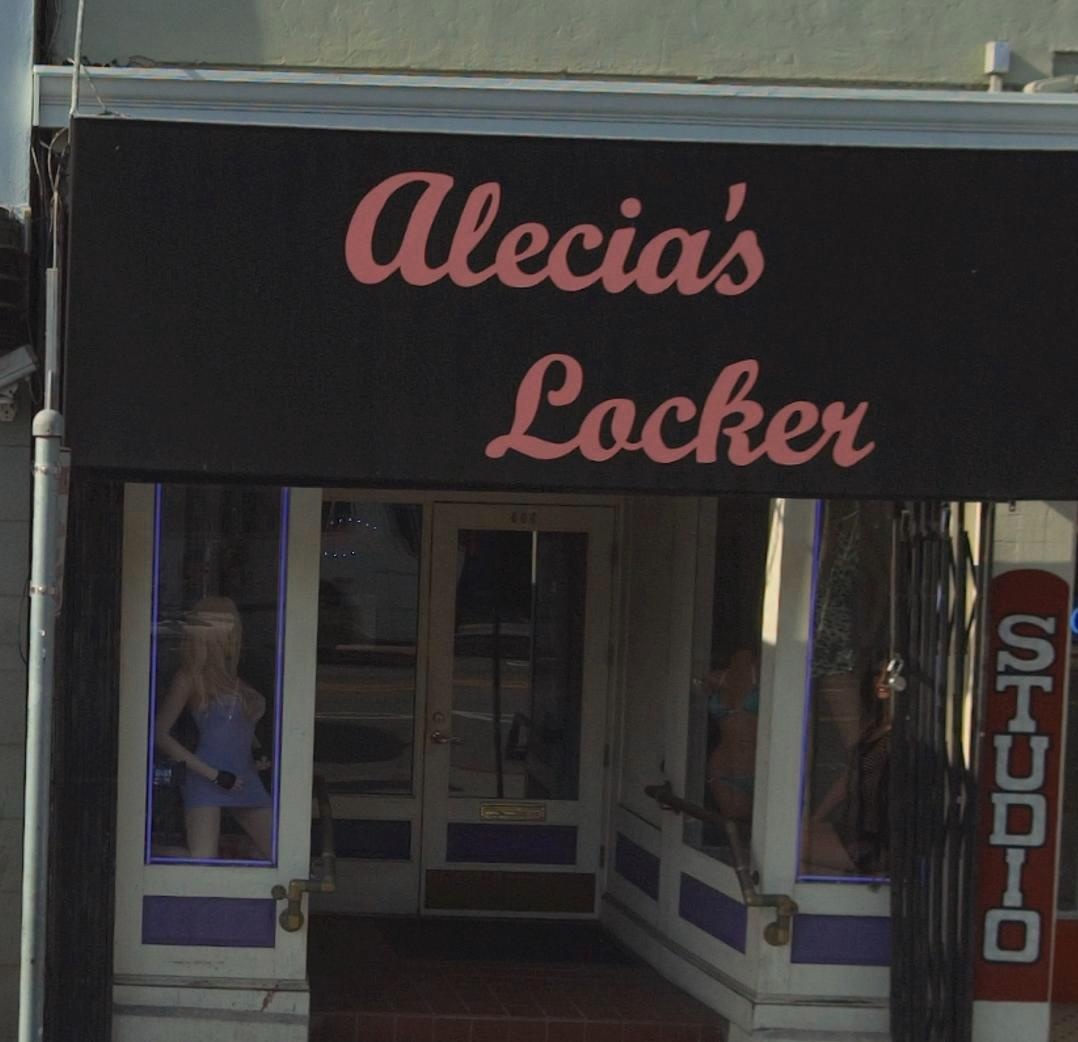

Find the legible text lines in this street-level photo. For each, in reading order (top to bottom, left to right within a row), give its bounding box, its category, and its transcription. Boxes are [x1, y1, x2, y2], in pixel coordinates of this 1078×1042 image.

[337, 164, 768, 301] BusinessName: alecia's
[479, 348, 879, 474] BusinessName: Locker
[508, 508, 539, 526] StreetNumber: 404
[978, 610, 1060, 969] None: STUDIO